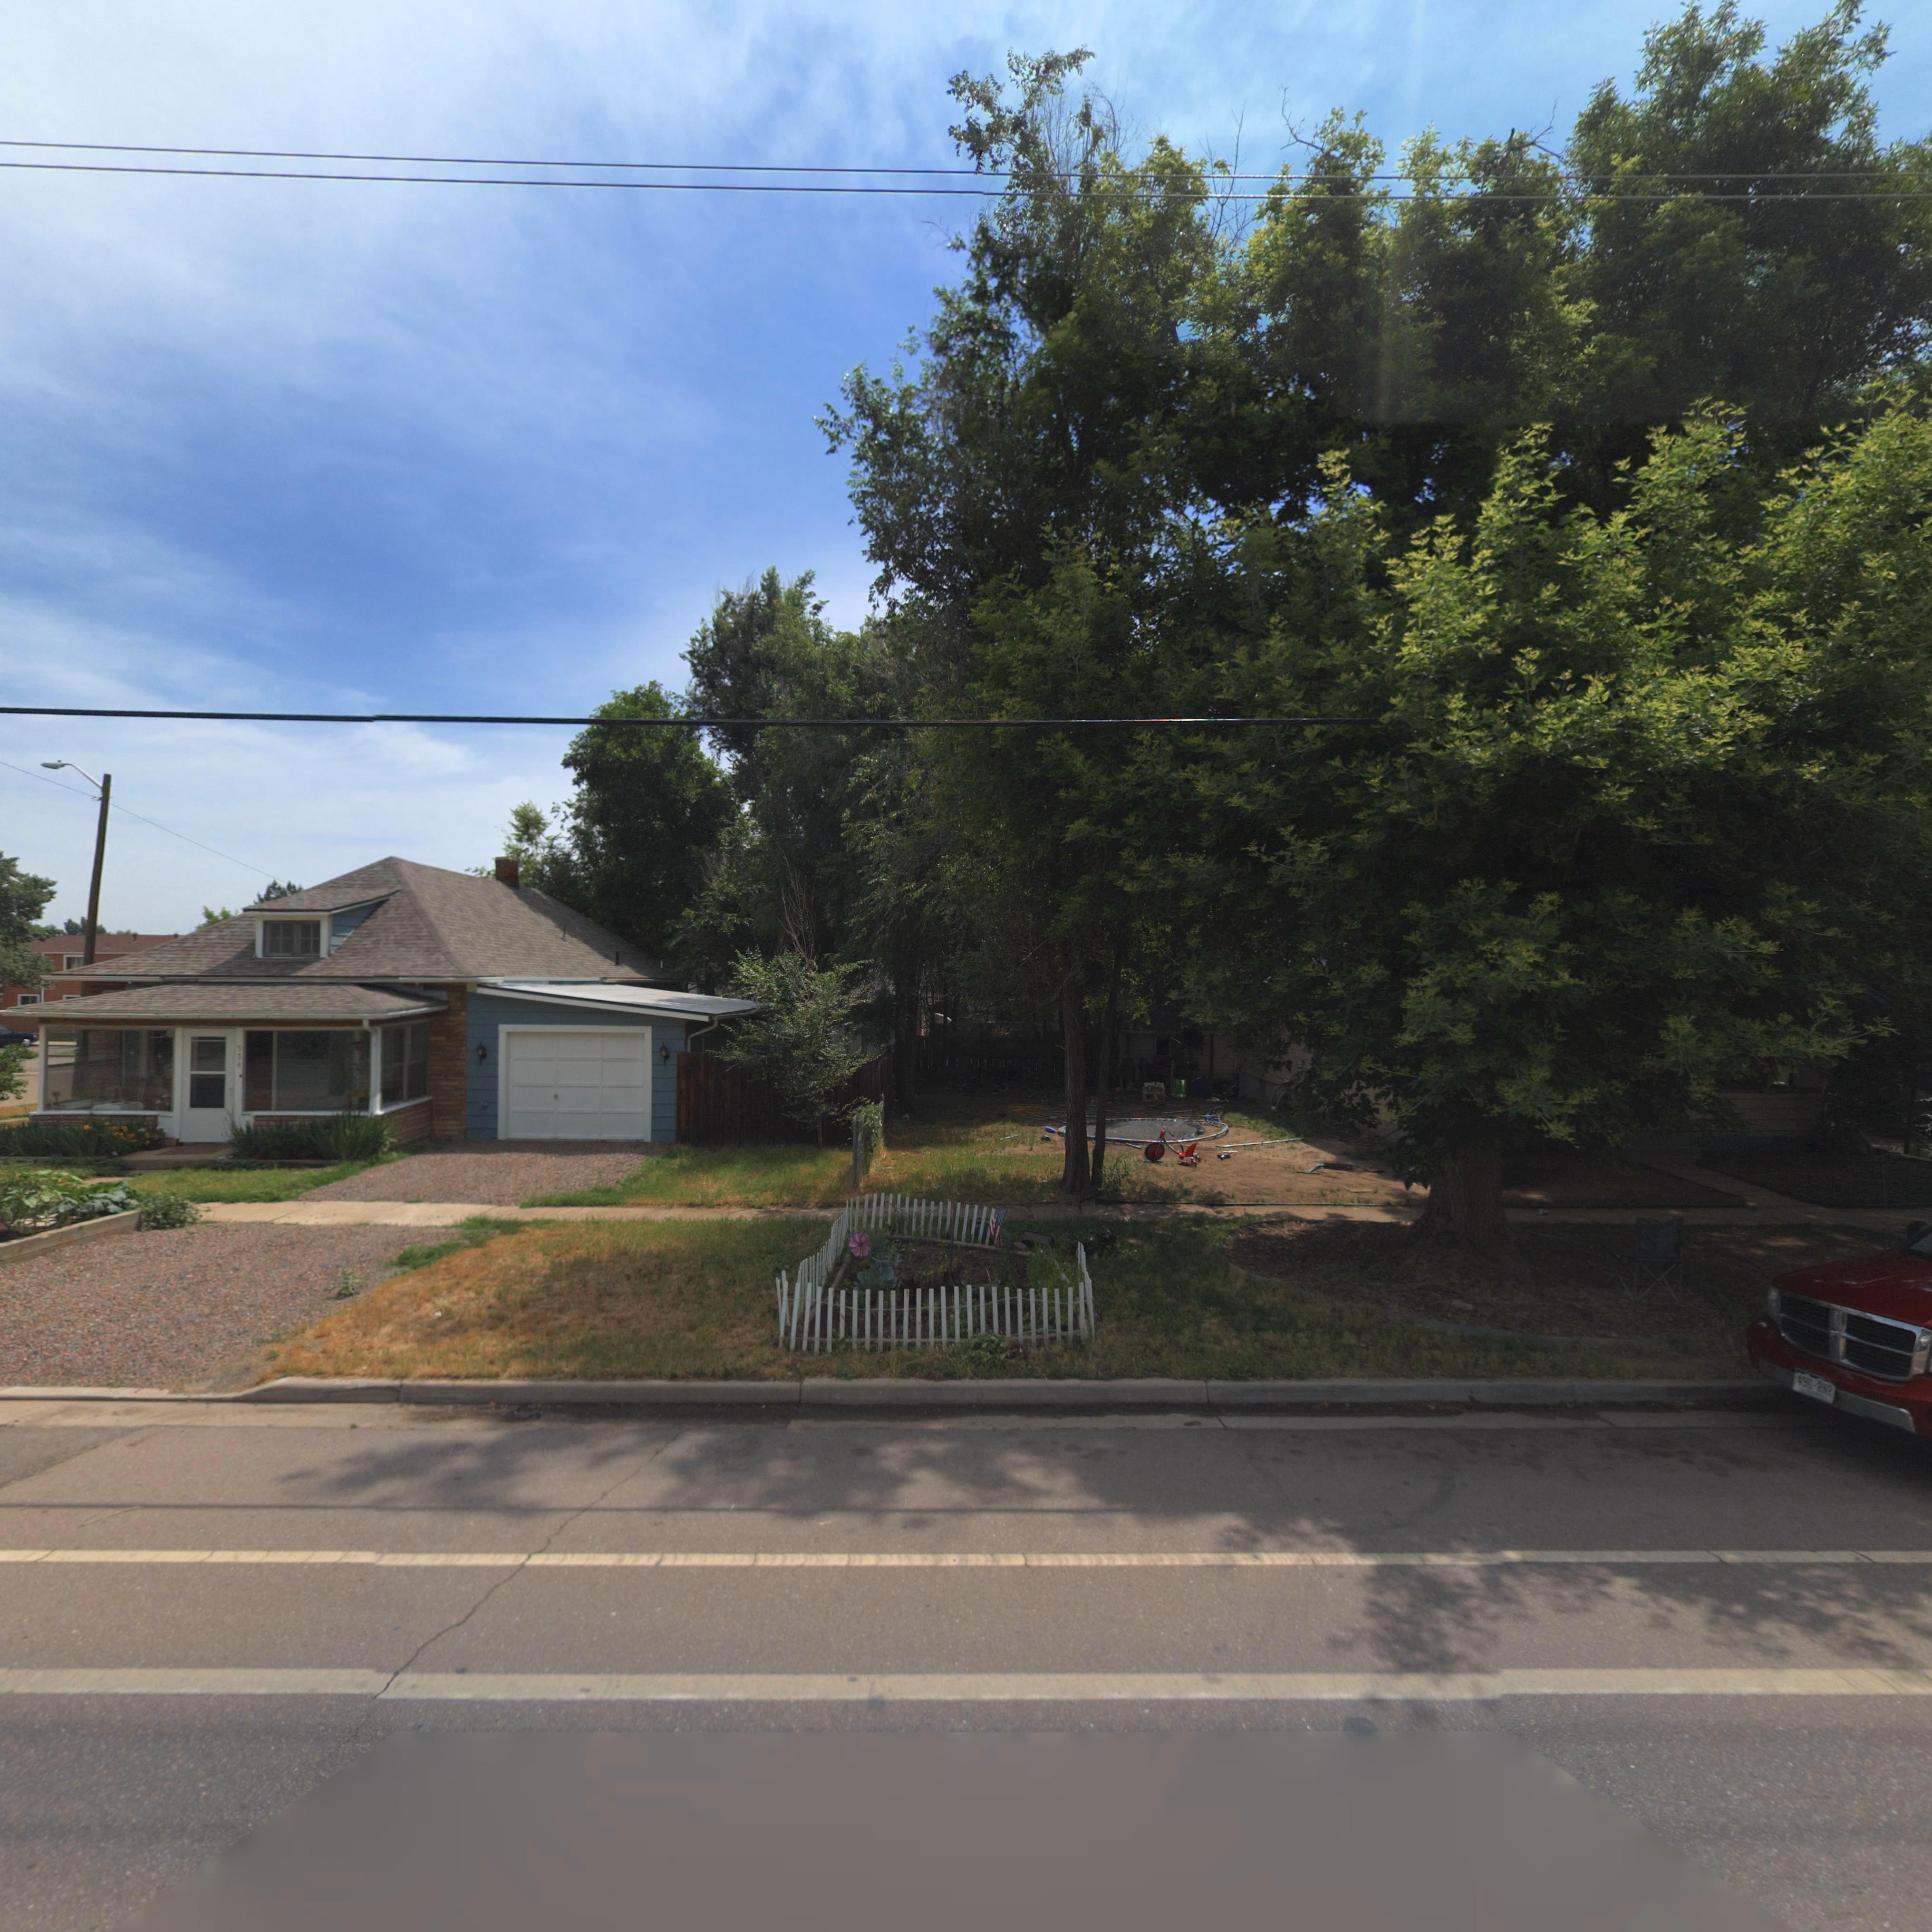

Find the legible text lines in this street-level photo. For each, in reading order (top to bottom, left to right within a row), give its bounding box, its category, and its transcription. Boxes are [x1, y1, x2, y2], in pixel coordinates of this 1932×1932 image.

[237, 1044, 241, 1067] StreetNumber: 53*